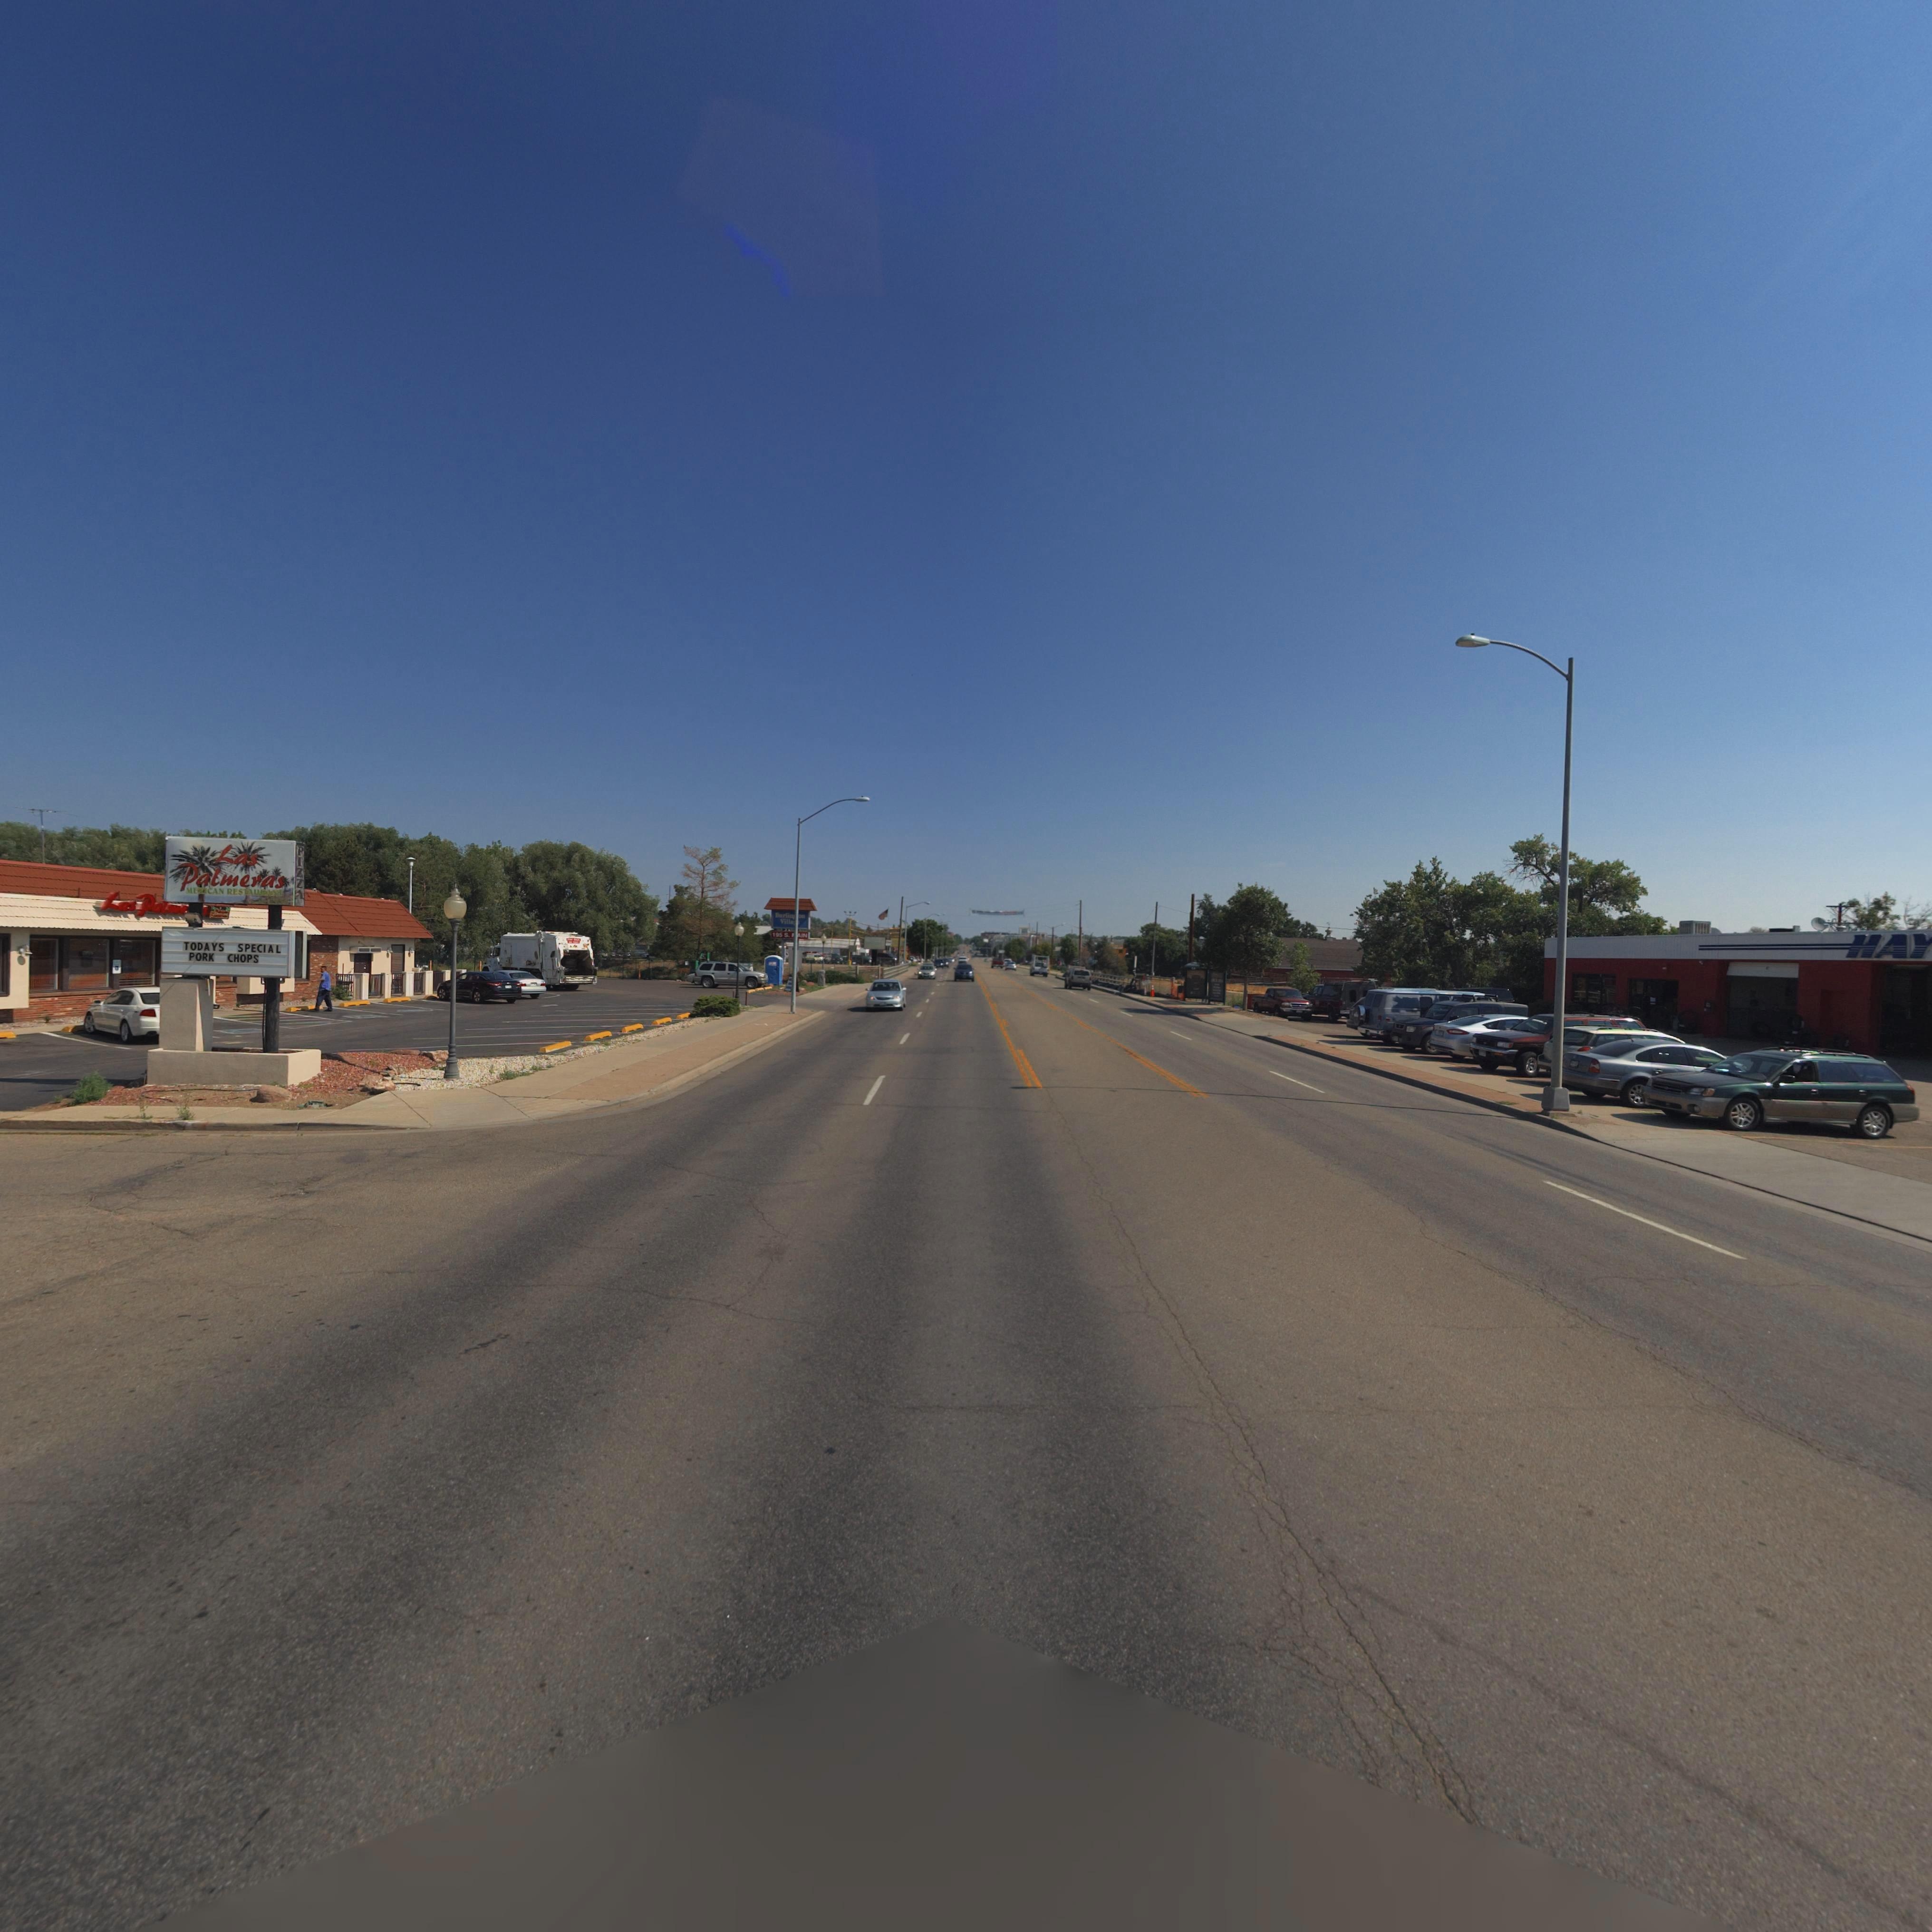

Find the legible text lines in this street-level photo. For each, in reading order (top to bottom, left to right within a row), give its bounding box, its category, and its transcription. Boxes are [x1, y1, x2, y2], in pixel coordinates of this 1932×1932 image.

[214, 843, 258, 866] BusinessName: Las
[176, 862, 285, 892] BusinessName: Palmeras
[185, 887, 282, 896] BusinessName: MEXICAN RESTAURANT
[99, 891, 209, 917] BusinessName: Las Palme**s
[209, 911, 229, 918] BusinessName: Restaurant
[215, 909, 229, 914] BusinessName: Mexican
[772, 932, 782, 937] StreetNumber: 195
[784, 932, 807, 938] StreetName: S. **IN
[1845, 933, 1908, 959] BusinessName: HA